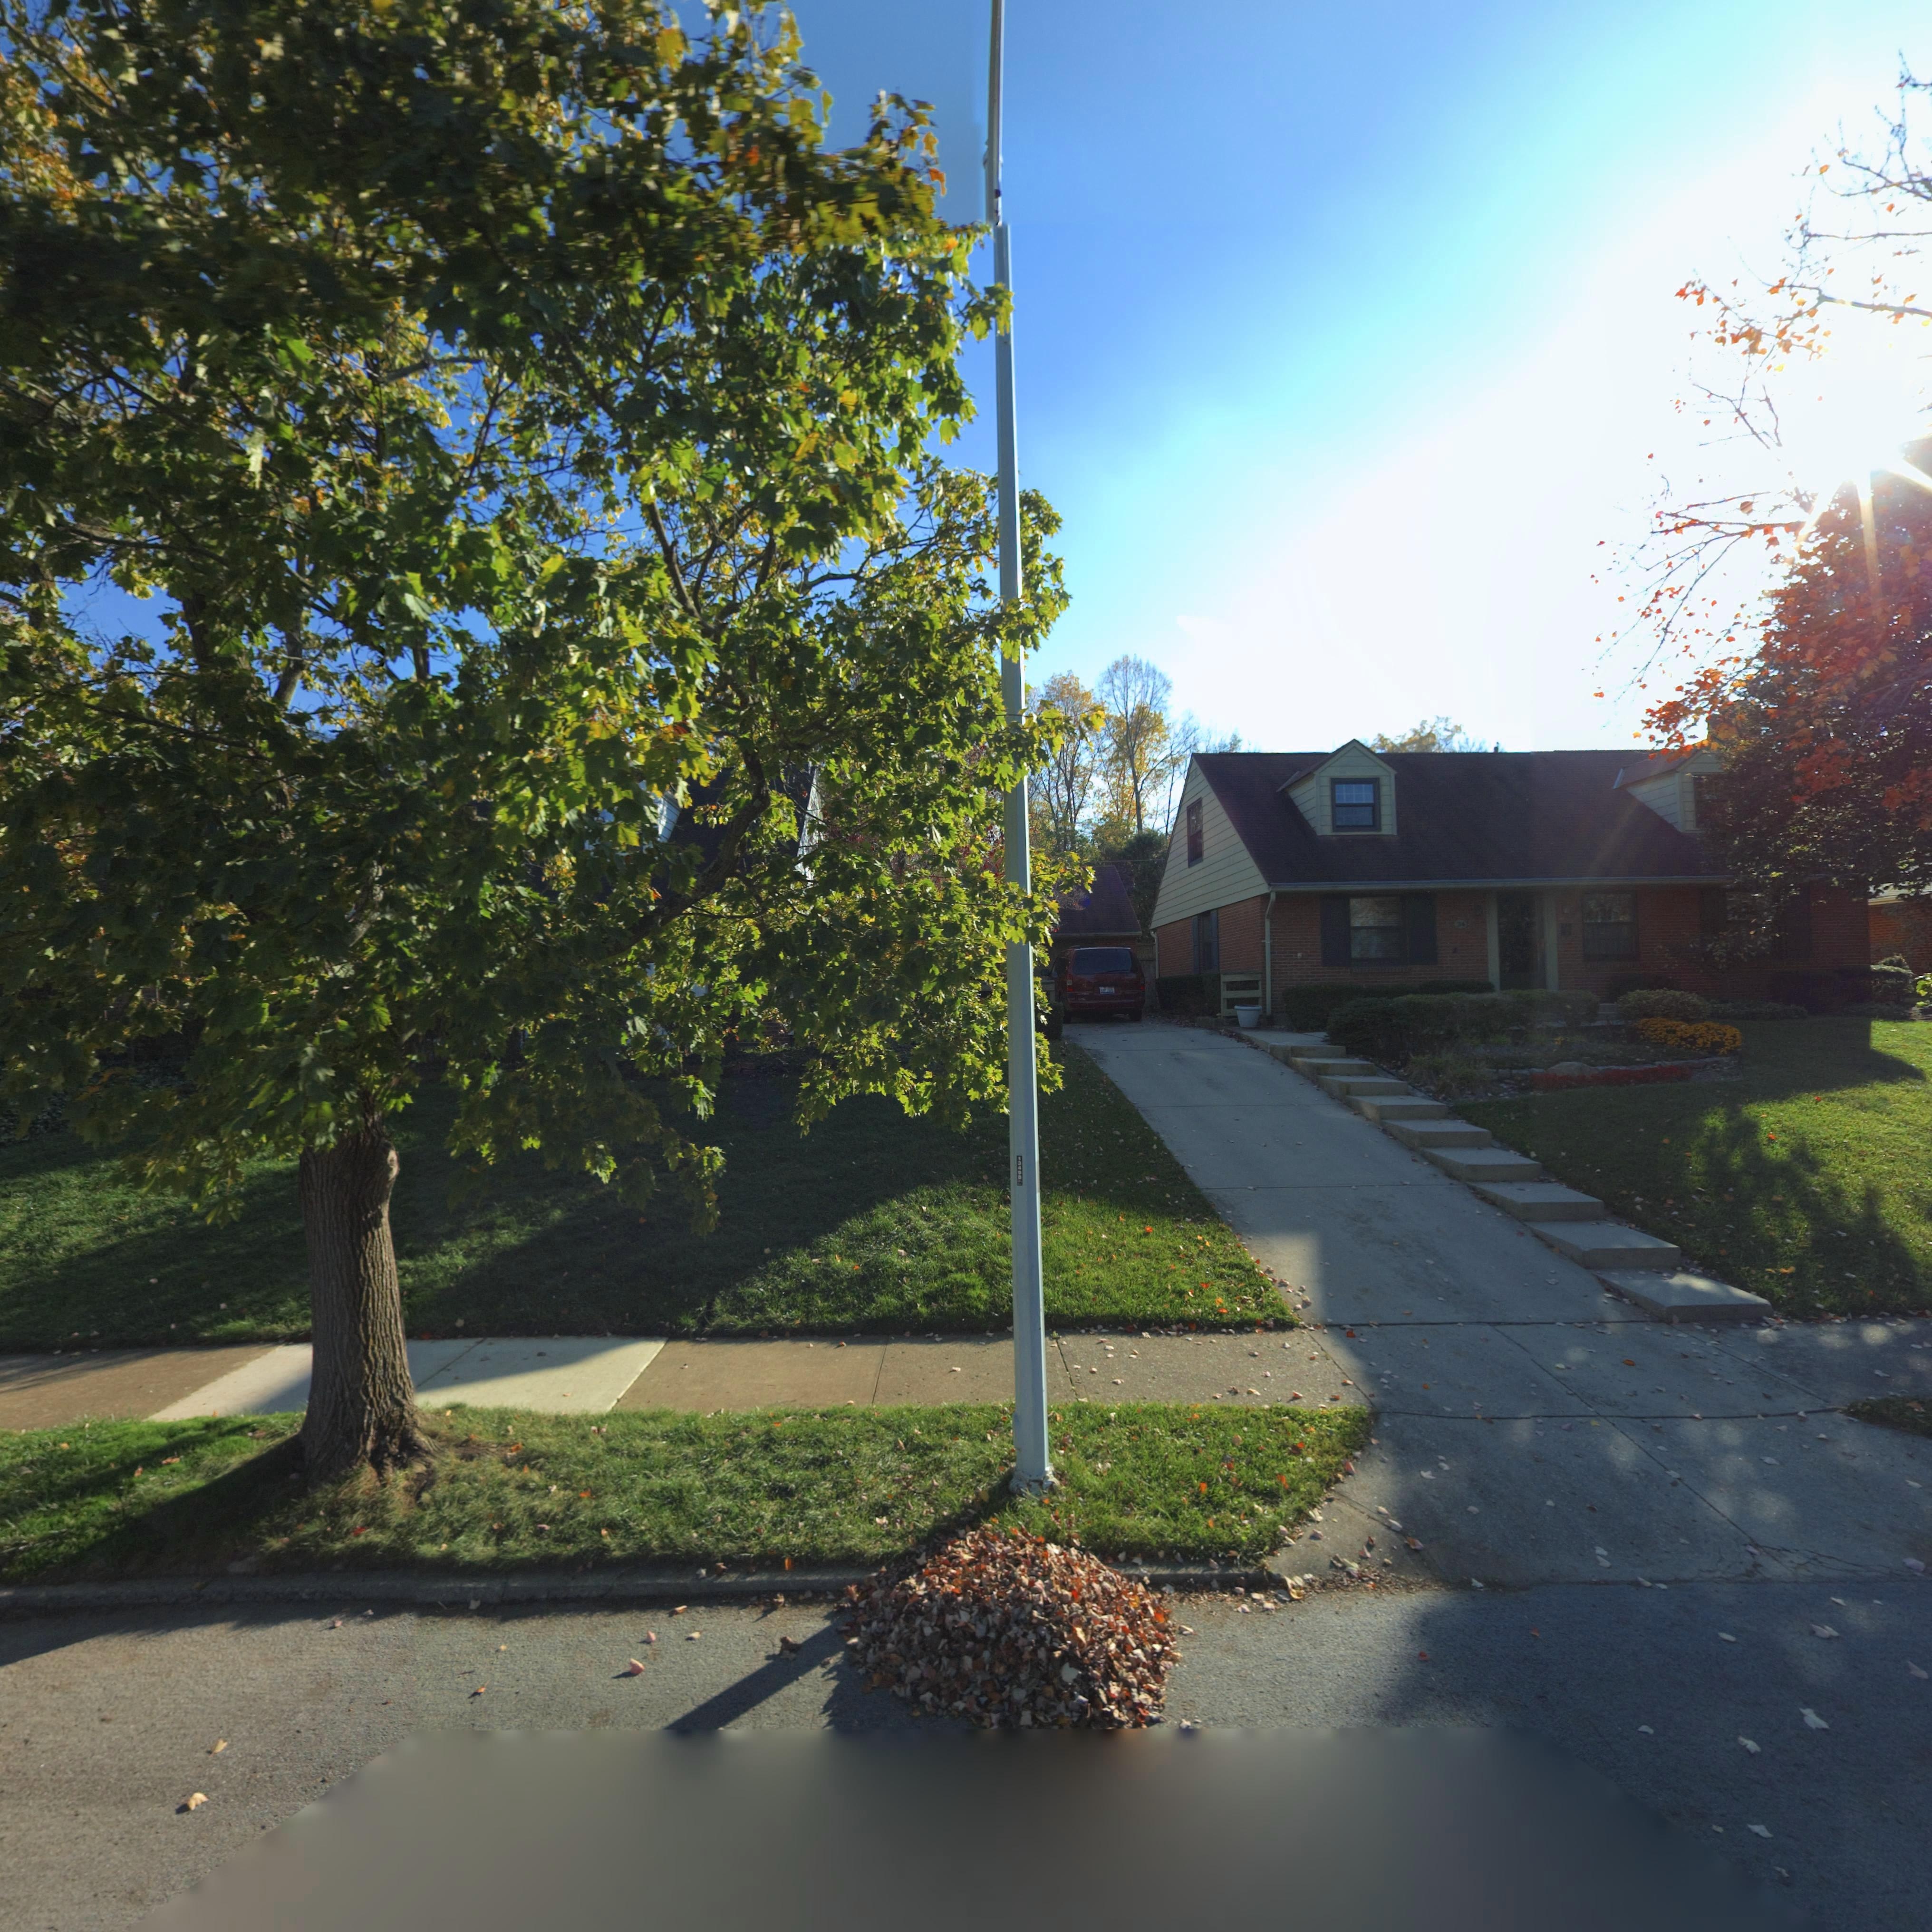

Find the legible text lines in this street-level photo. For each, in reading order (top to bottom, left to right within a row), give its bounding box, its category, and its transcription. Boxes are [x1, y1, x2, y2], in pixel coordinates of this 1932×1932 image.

[1455, 921, 1466, 928] StreetNumber: 34